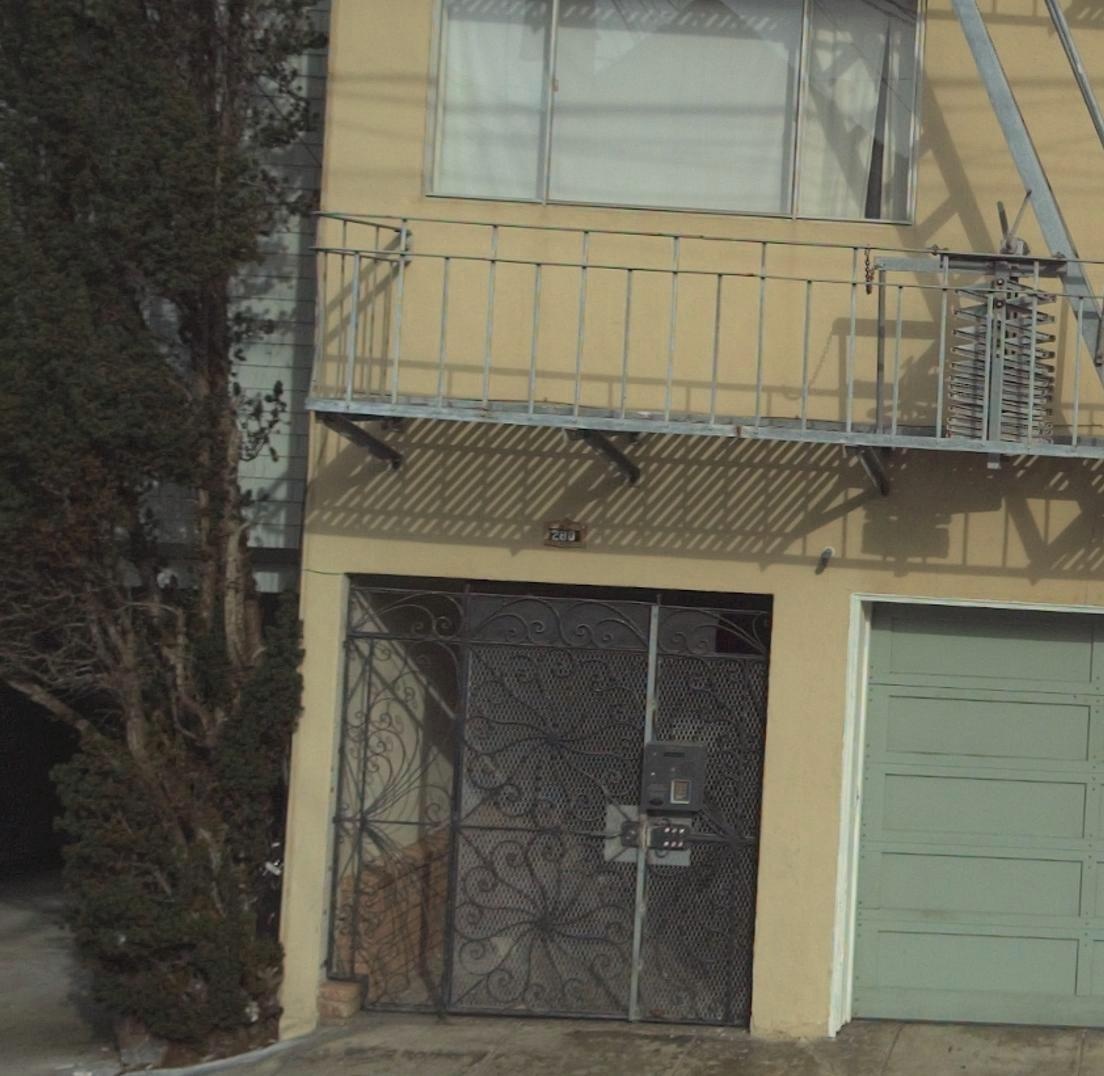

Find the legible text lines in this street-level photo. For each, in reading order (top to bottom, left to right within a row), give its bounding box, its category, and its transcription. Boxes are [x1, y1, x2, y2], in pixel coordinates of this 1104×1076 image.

[550, 529, 576, 542] StreetNumber: 280